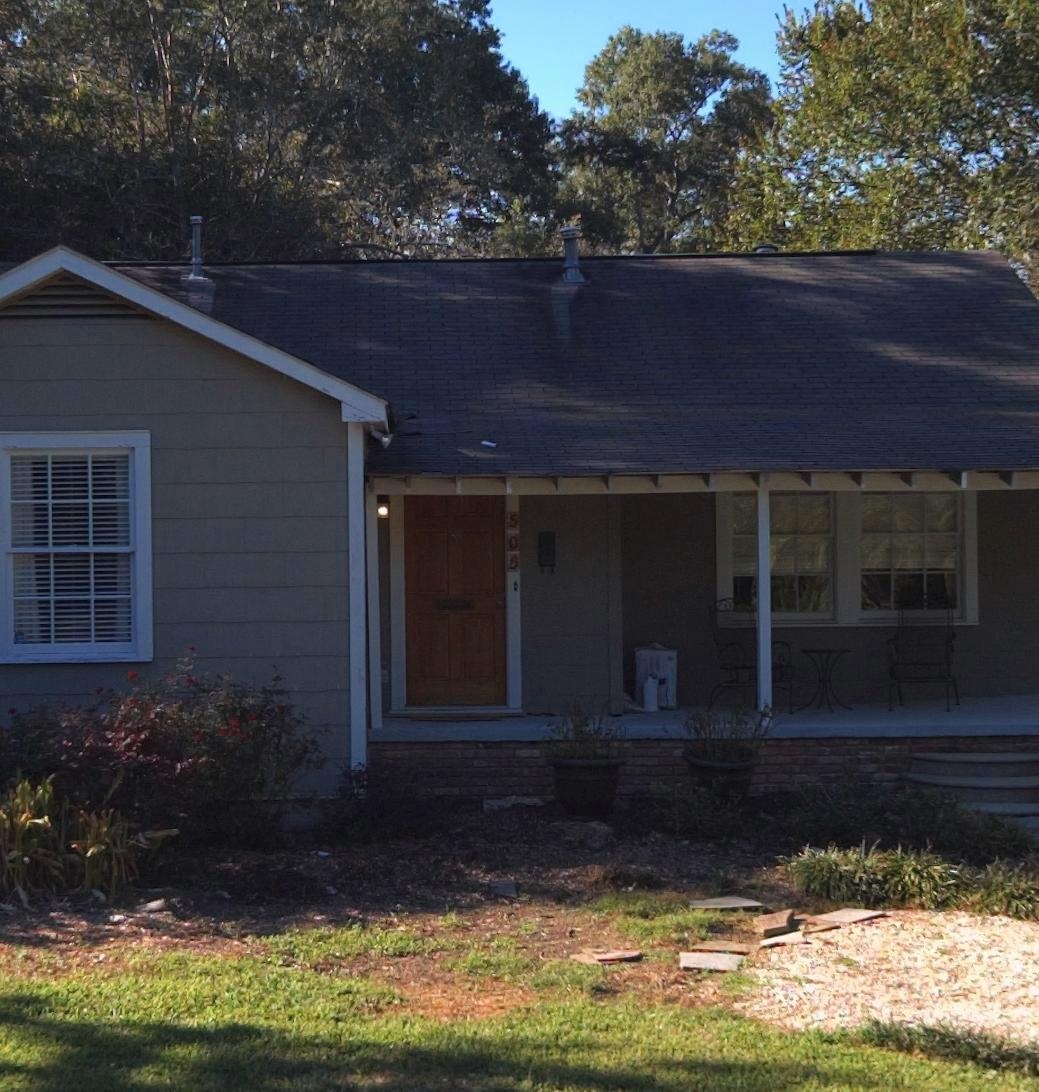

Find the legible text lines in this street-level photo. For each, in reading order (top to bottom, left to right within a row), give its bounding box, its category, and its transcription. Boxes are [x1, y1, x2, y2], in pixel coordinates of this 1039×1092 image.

[507, 512, 520, 572] StreetNumber: 505